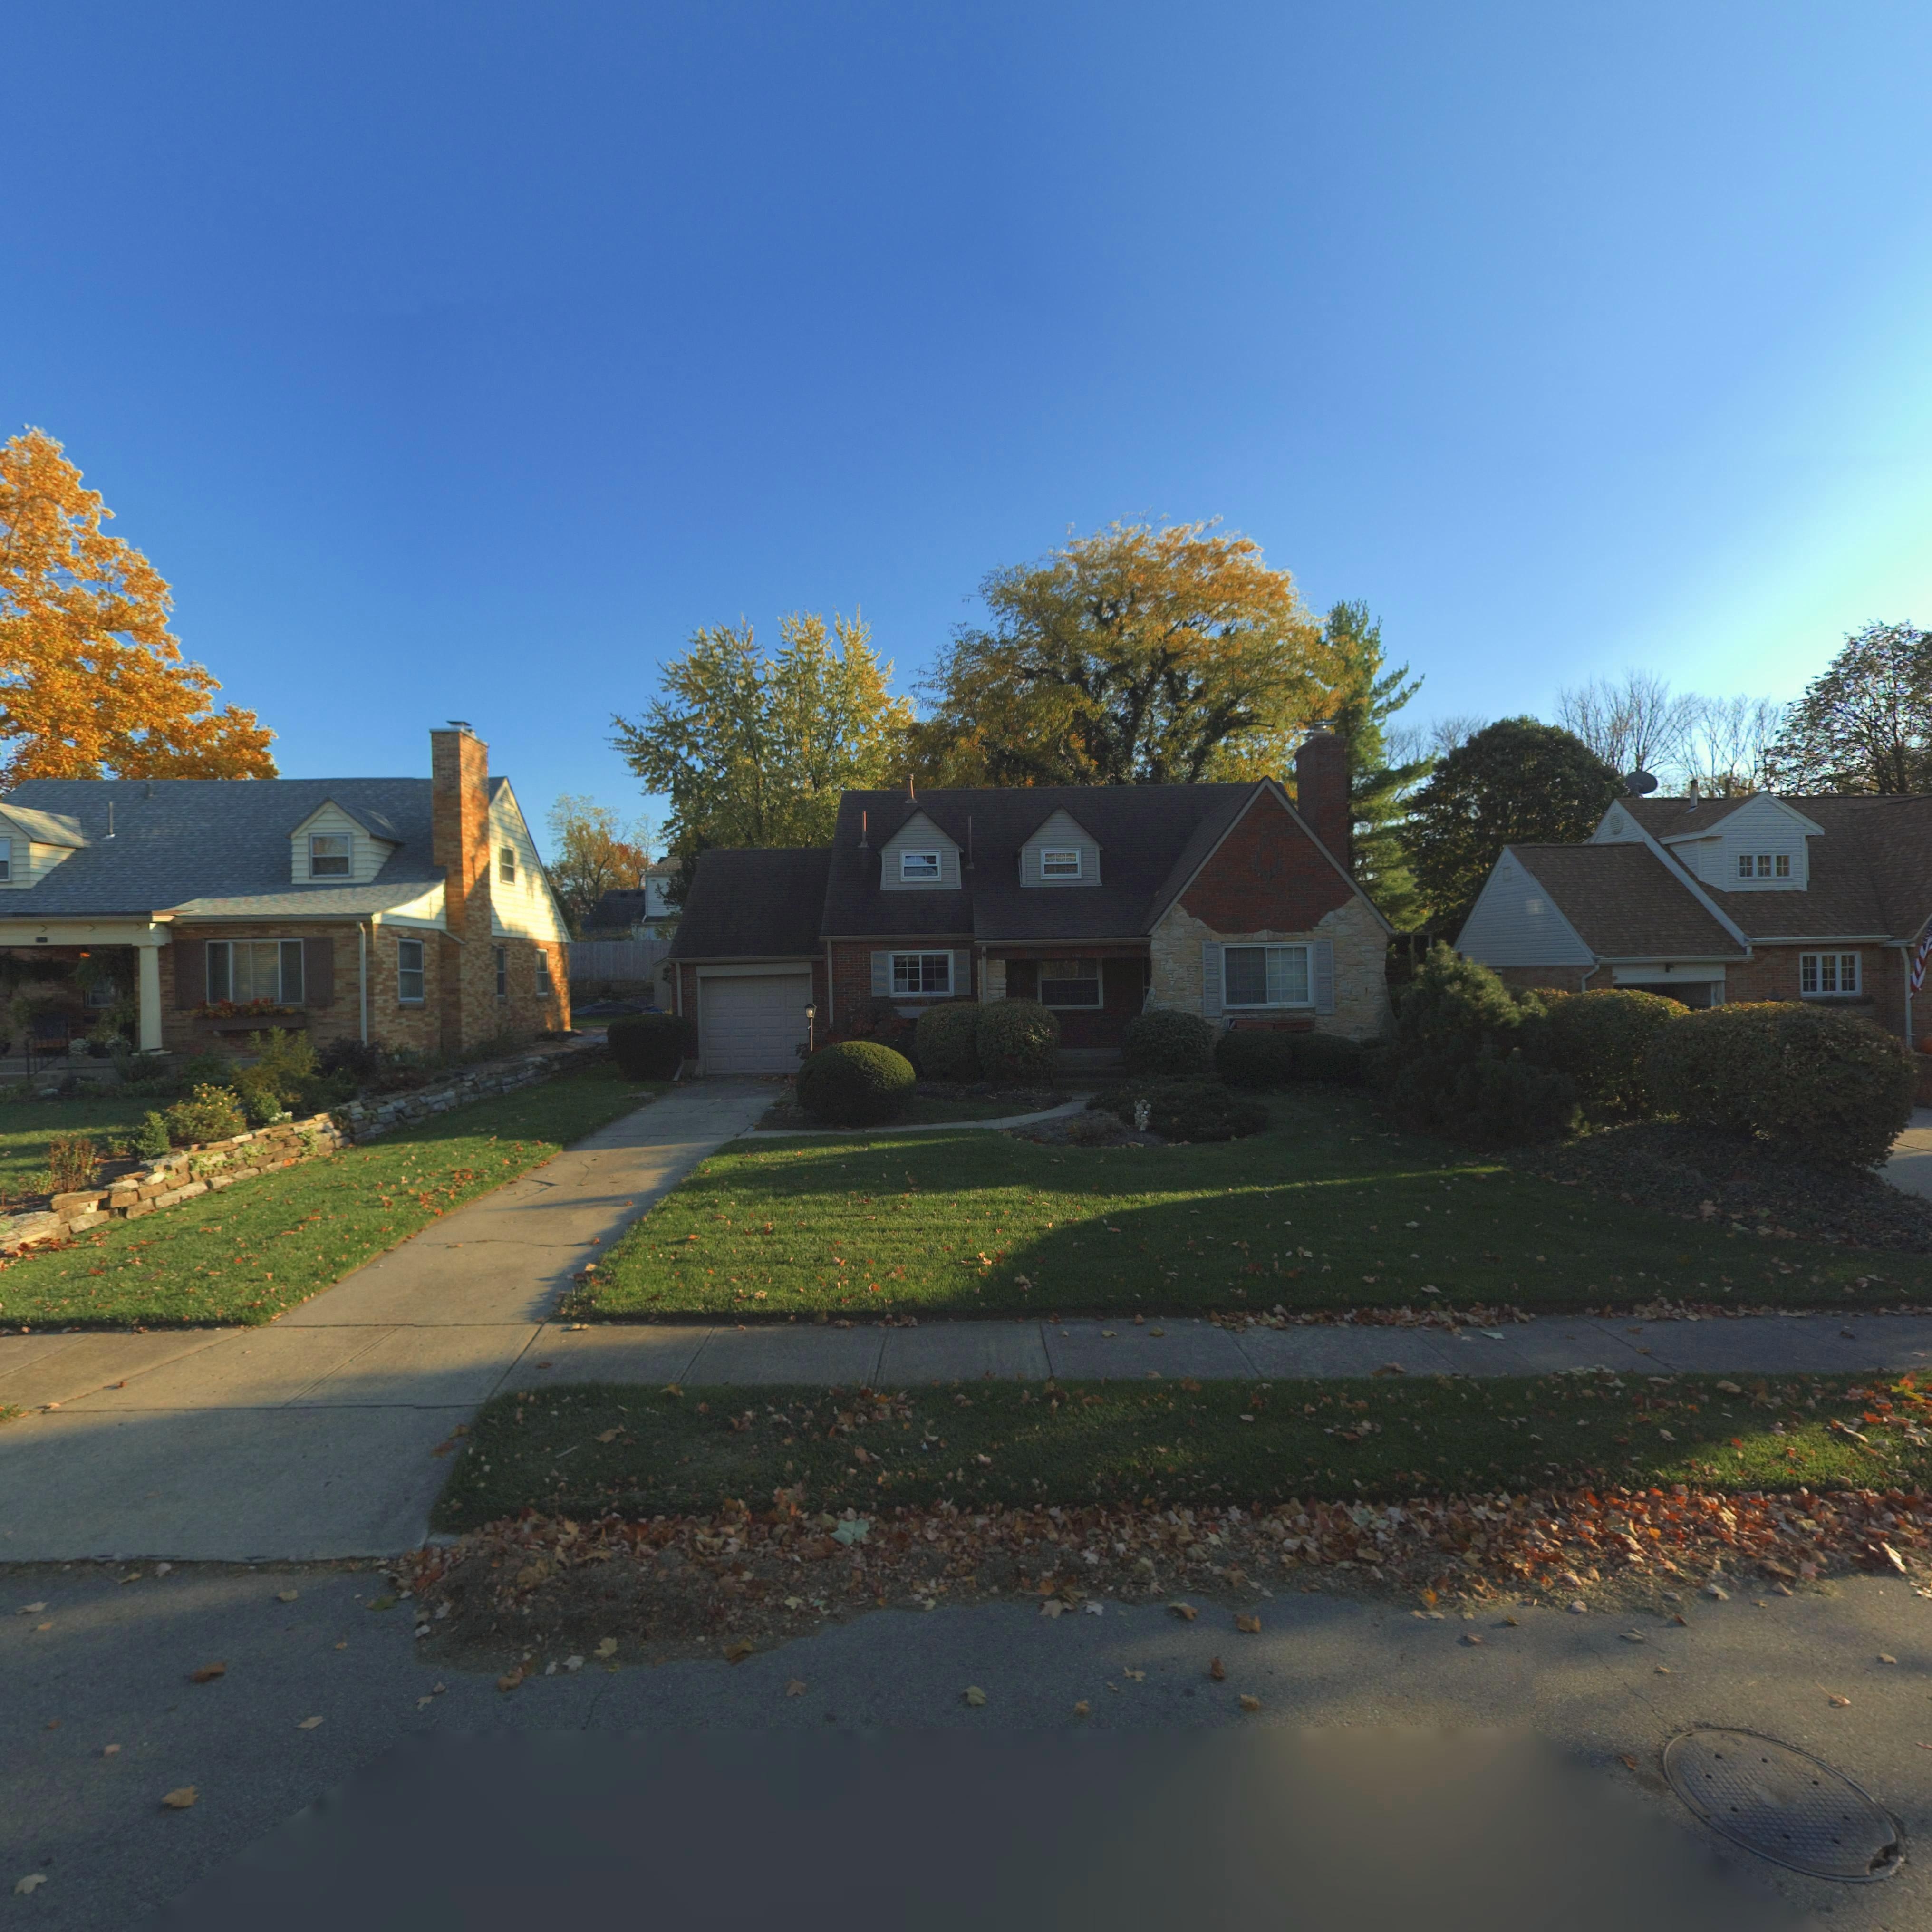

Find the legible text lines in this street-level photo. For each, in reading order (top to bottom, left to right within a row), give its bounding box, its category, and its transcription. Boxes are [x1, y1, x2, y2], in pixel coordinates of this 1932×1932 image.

[1072, 953, 1082, 958] StreetNumber: 1*2
[1028, 983, 1037, 987] StreetNumber: 132